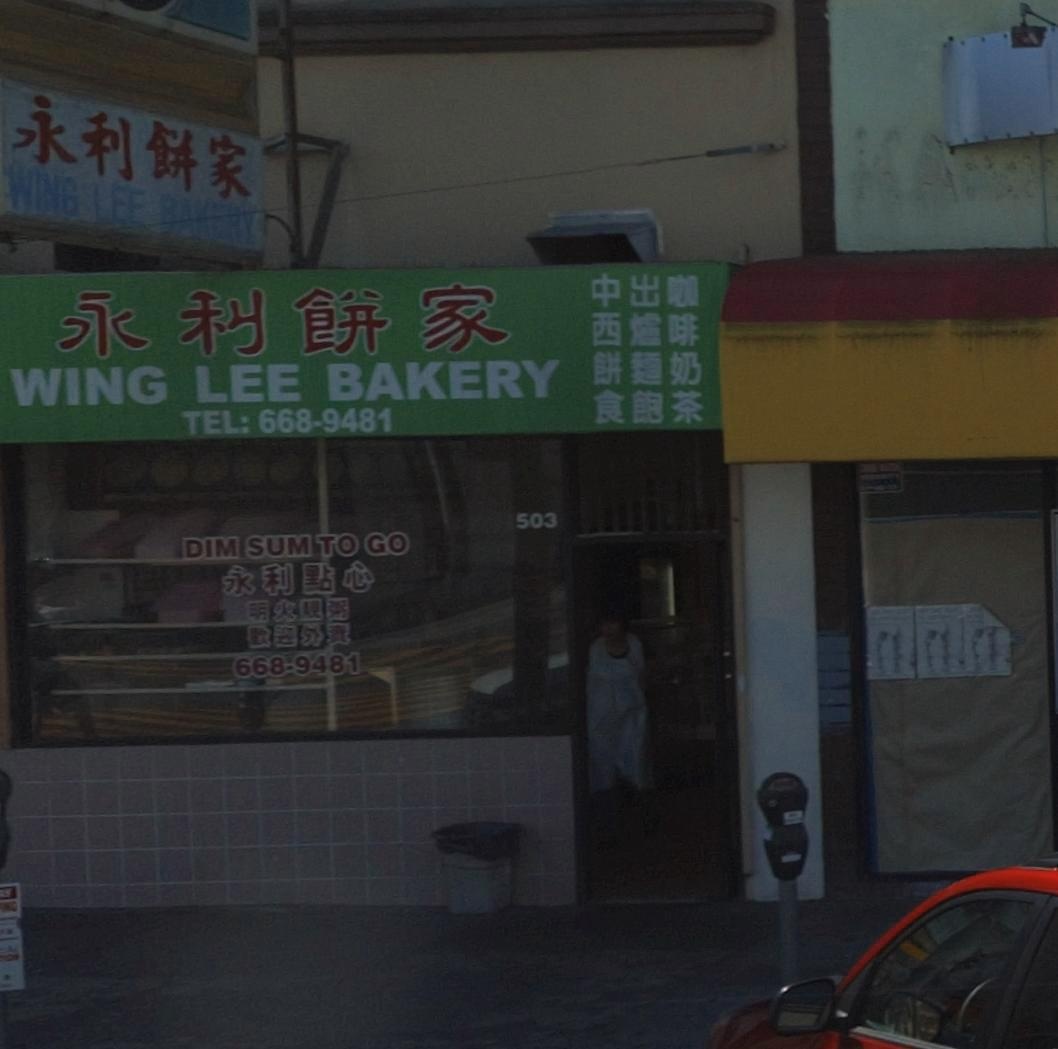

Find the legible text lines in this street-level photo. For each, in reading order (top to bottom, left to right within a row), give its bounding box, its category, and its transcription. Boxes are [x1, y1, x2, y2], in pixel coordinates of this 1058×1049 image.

[2, 162, 261, 252] BusinessName: WING LEE BAKERY
[5, 355, 564, 410] BusinessName: WING LEE BAKERY
[181, 404, 393, 438] None: TEL: 668-9481
[514, 509, 558, 532] StreetNumber: 503
[180, 529, 411, 561] None: DIM SUM T0 GO
[228, 649, 362, 682] None: 668-9481